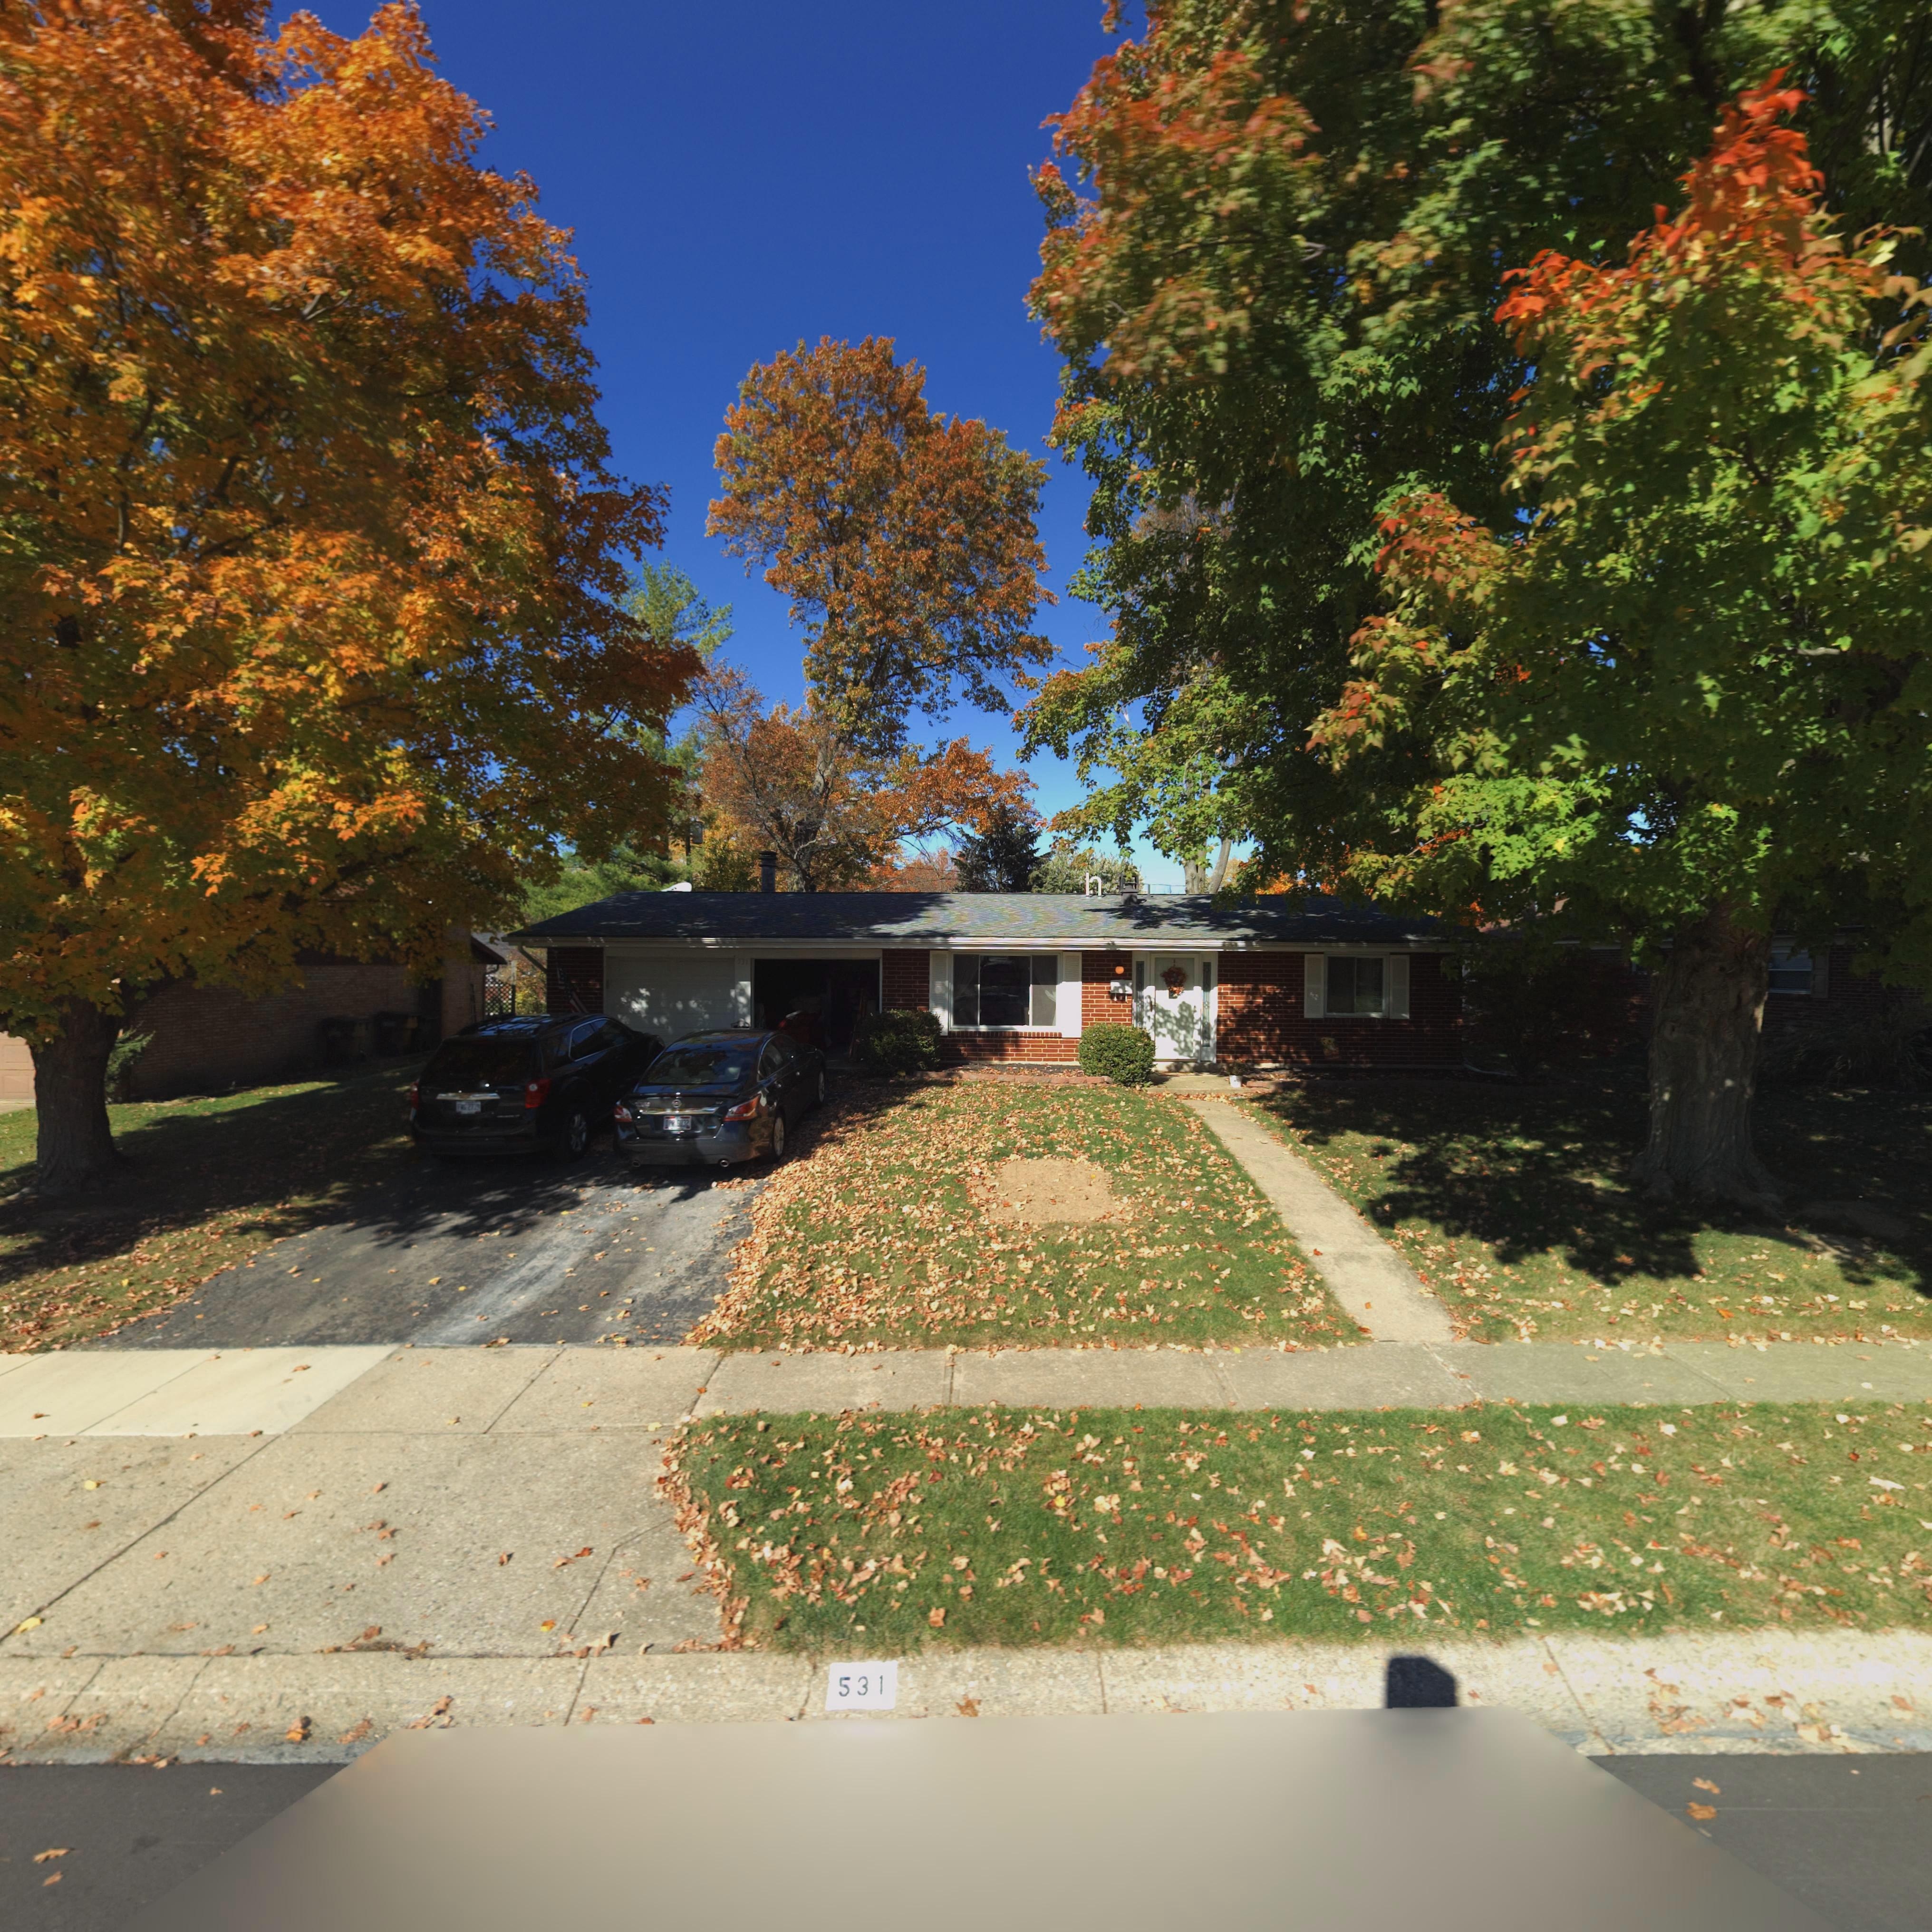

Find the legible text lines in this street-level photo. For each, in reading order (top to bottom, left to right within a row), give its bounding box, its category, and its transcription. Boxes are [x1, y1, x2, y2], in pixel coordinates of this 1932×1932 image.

[736, 957, 749, 966] StreetNumber: 531
[456, 1102, 481, 1111] None: F***27*9
[675, 1119, 690, 1128] None: 6*32
[836, 1673, 886, 1700] StreetNumber: 531